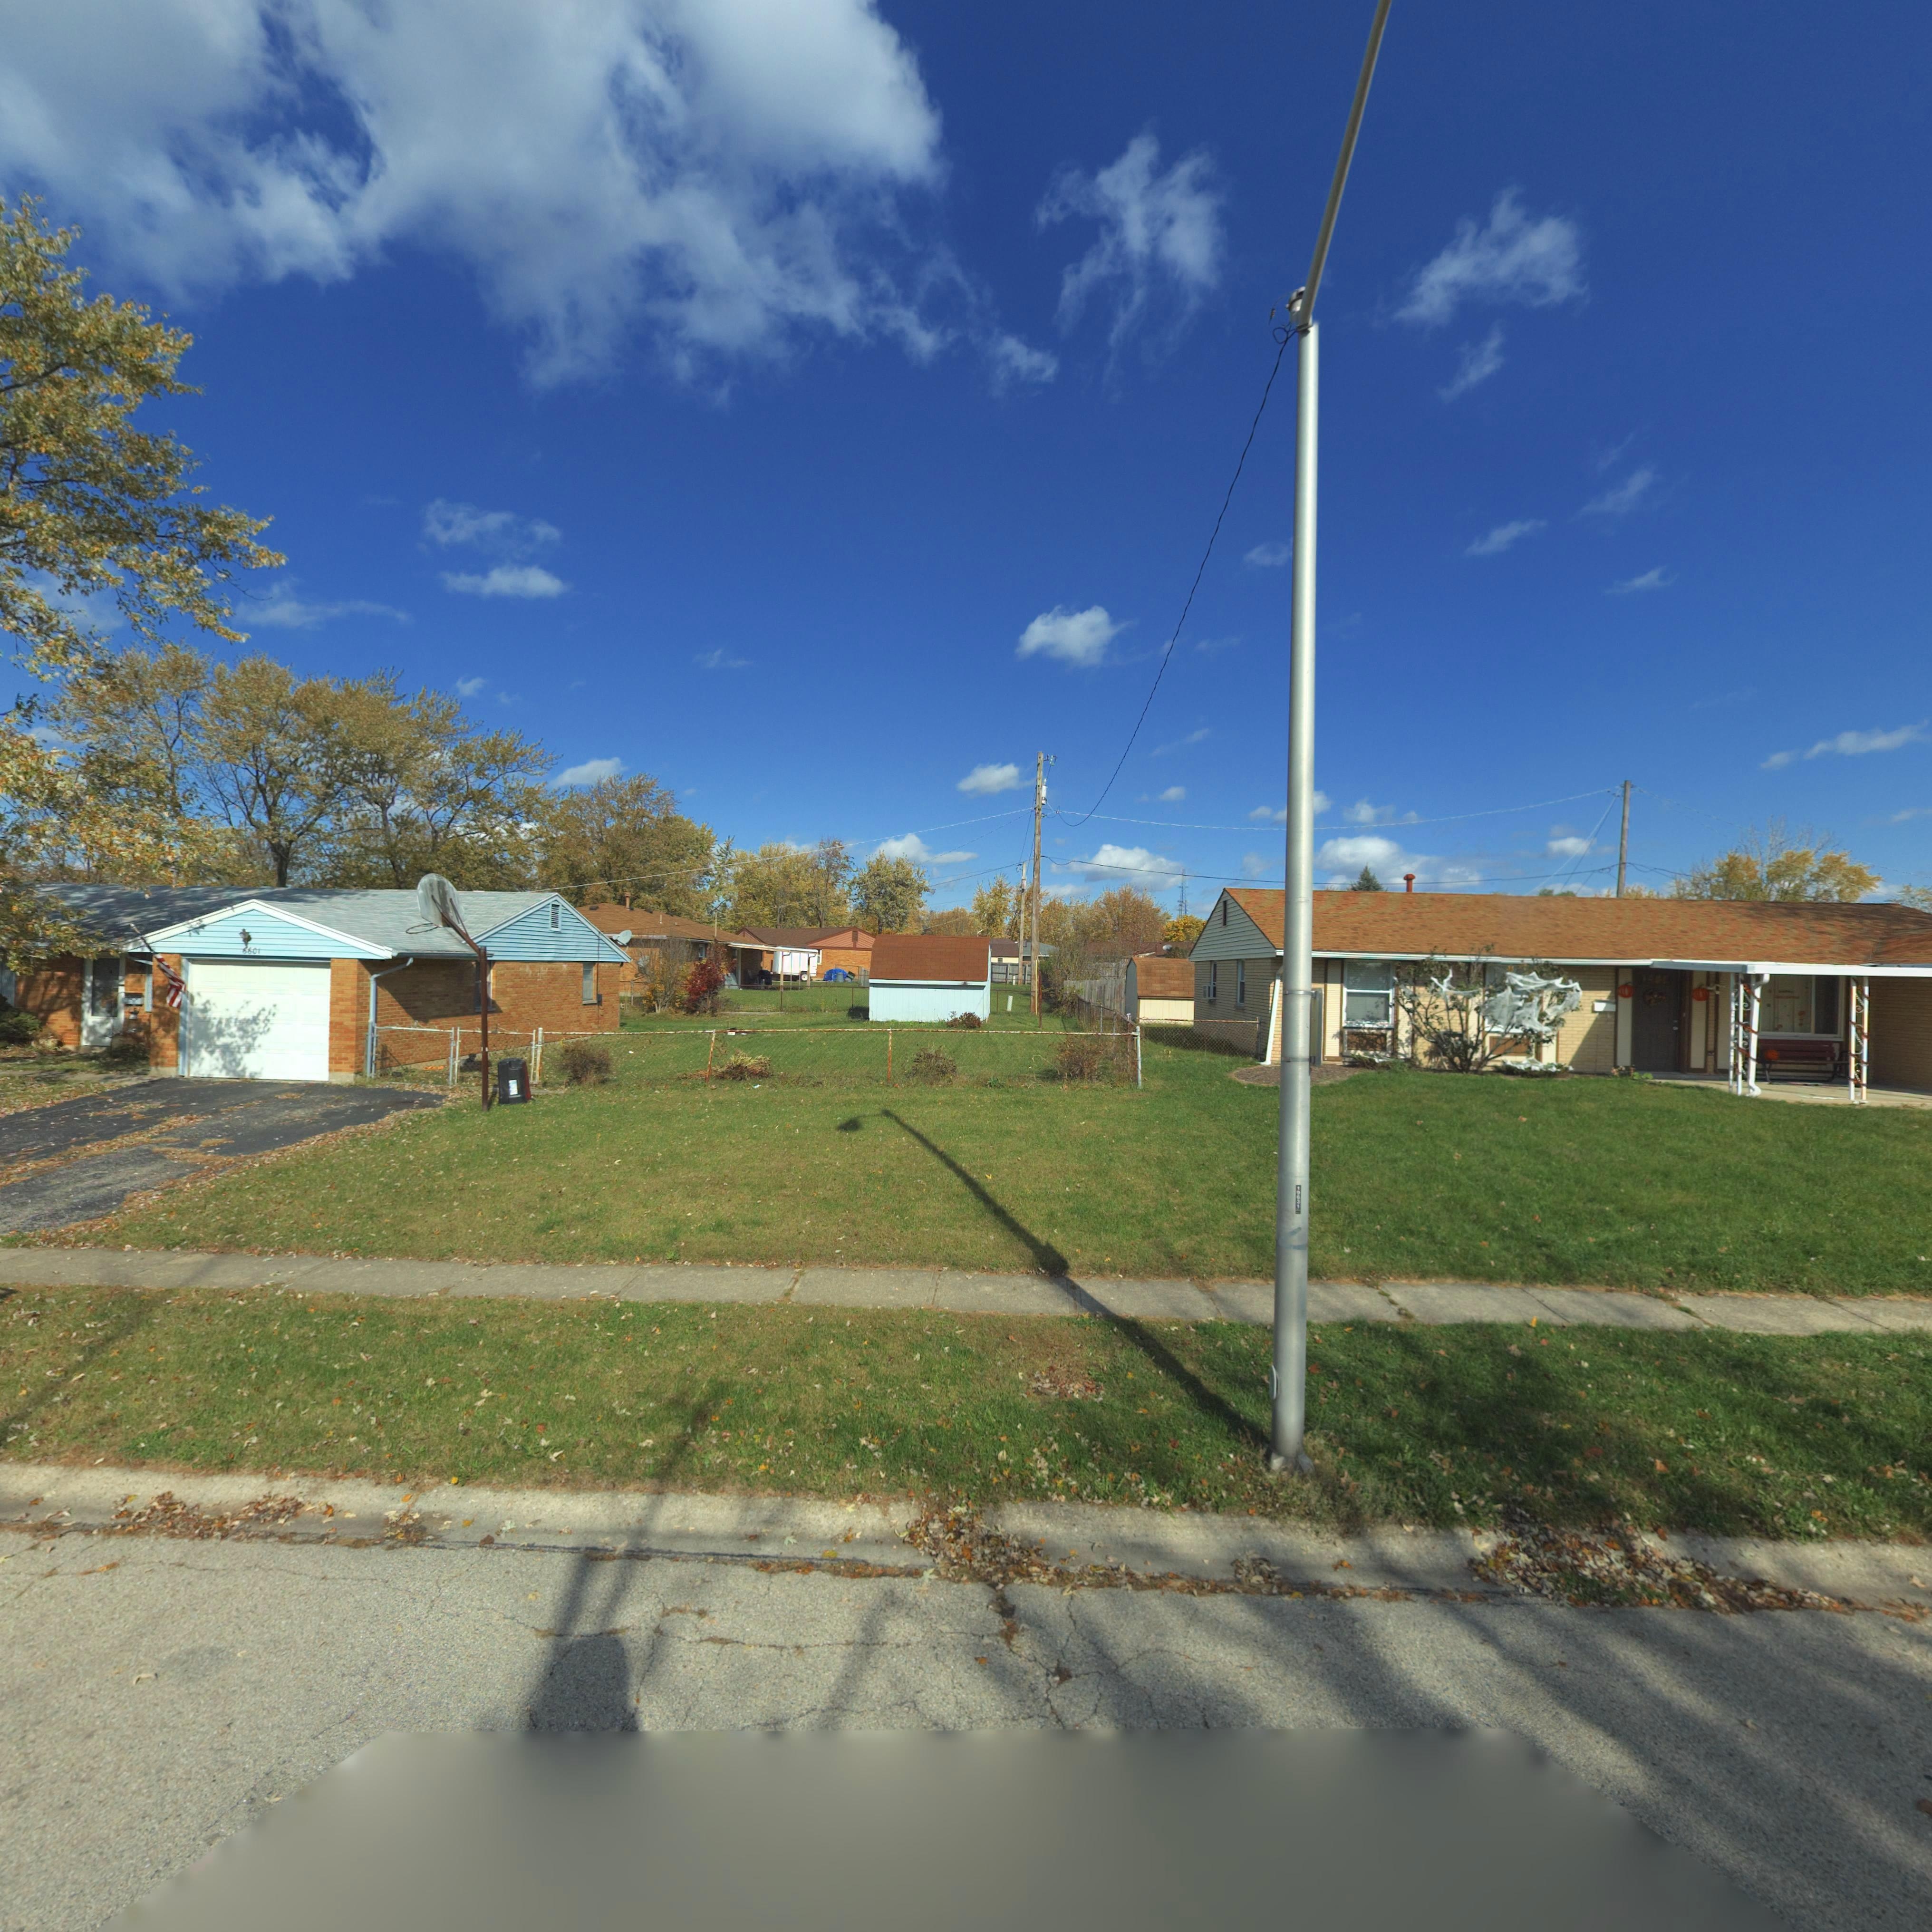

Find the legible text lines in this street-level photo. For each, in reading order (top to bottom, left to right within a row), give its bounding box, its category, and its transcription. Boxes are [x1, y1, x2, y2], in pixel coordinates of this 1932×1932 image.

[241, 946, 261, 955] StreetNumber: 6601
[1640, 974, 1671, 985] StreetNumber: ***5